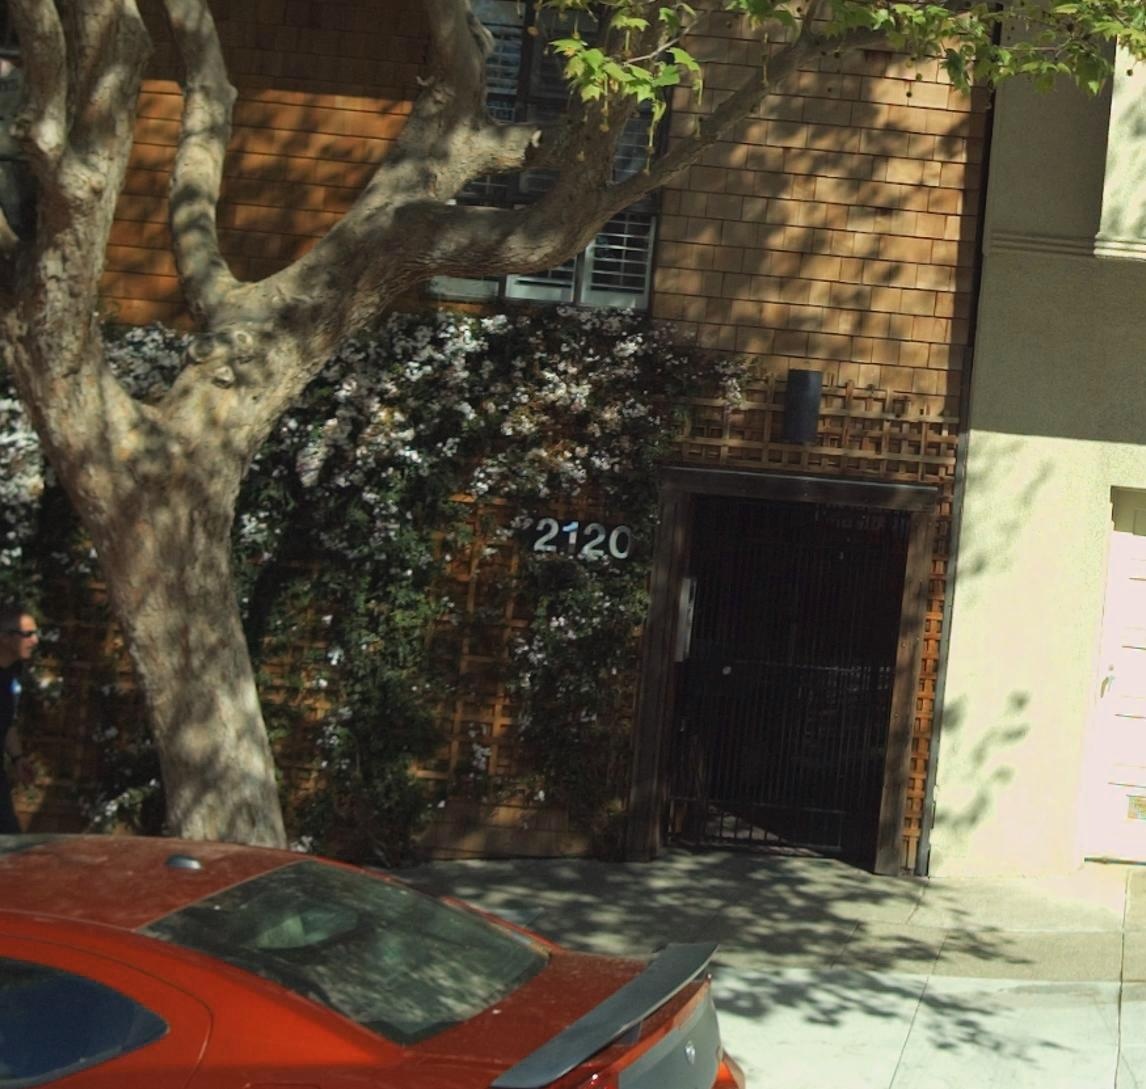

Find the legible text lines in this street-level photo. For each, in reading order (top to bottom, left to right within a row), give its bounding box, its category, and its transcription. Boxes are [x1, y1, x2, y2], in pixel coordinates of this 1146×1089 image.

[531, 516, 635, 562] StreetNumber: 2120